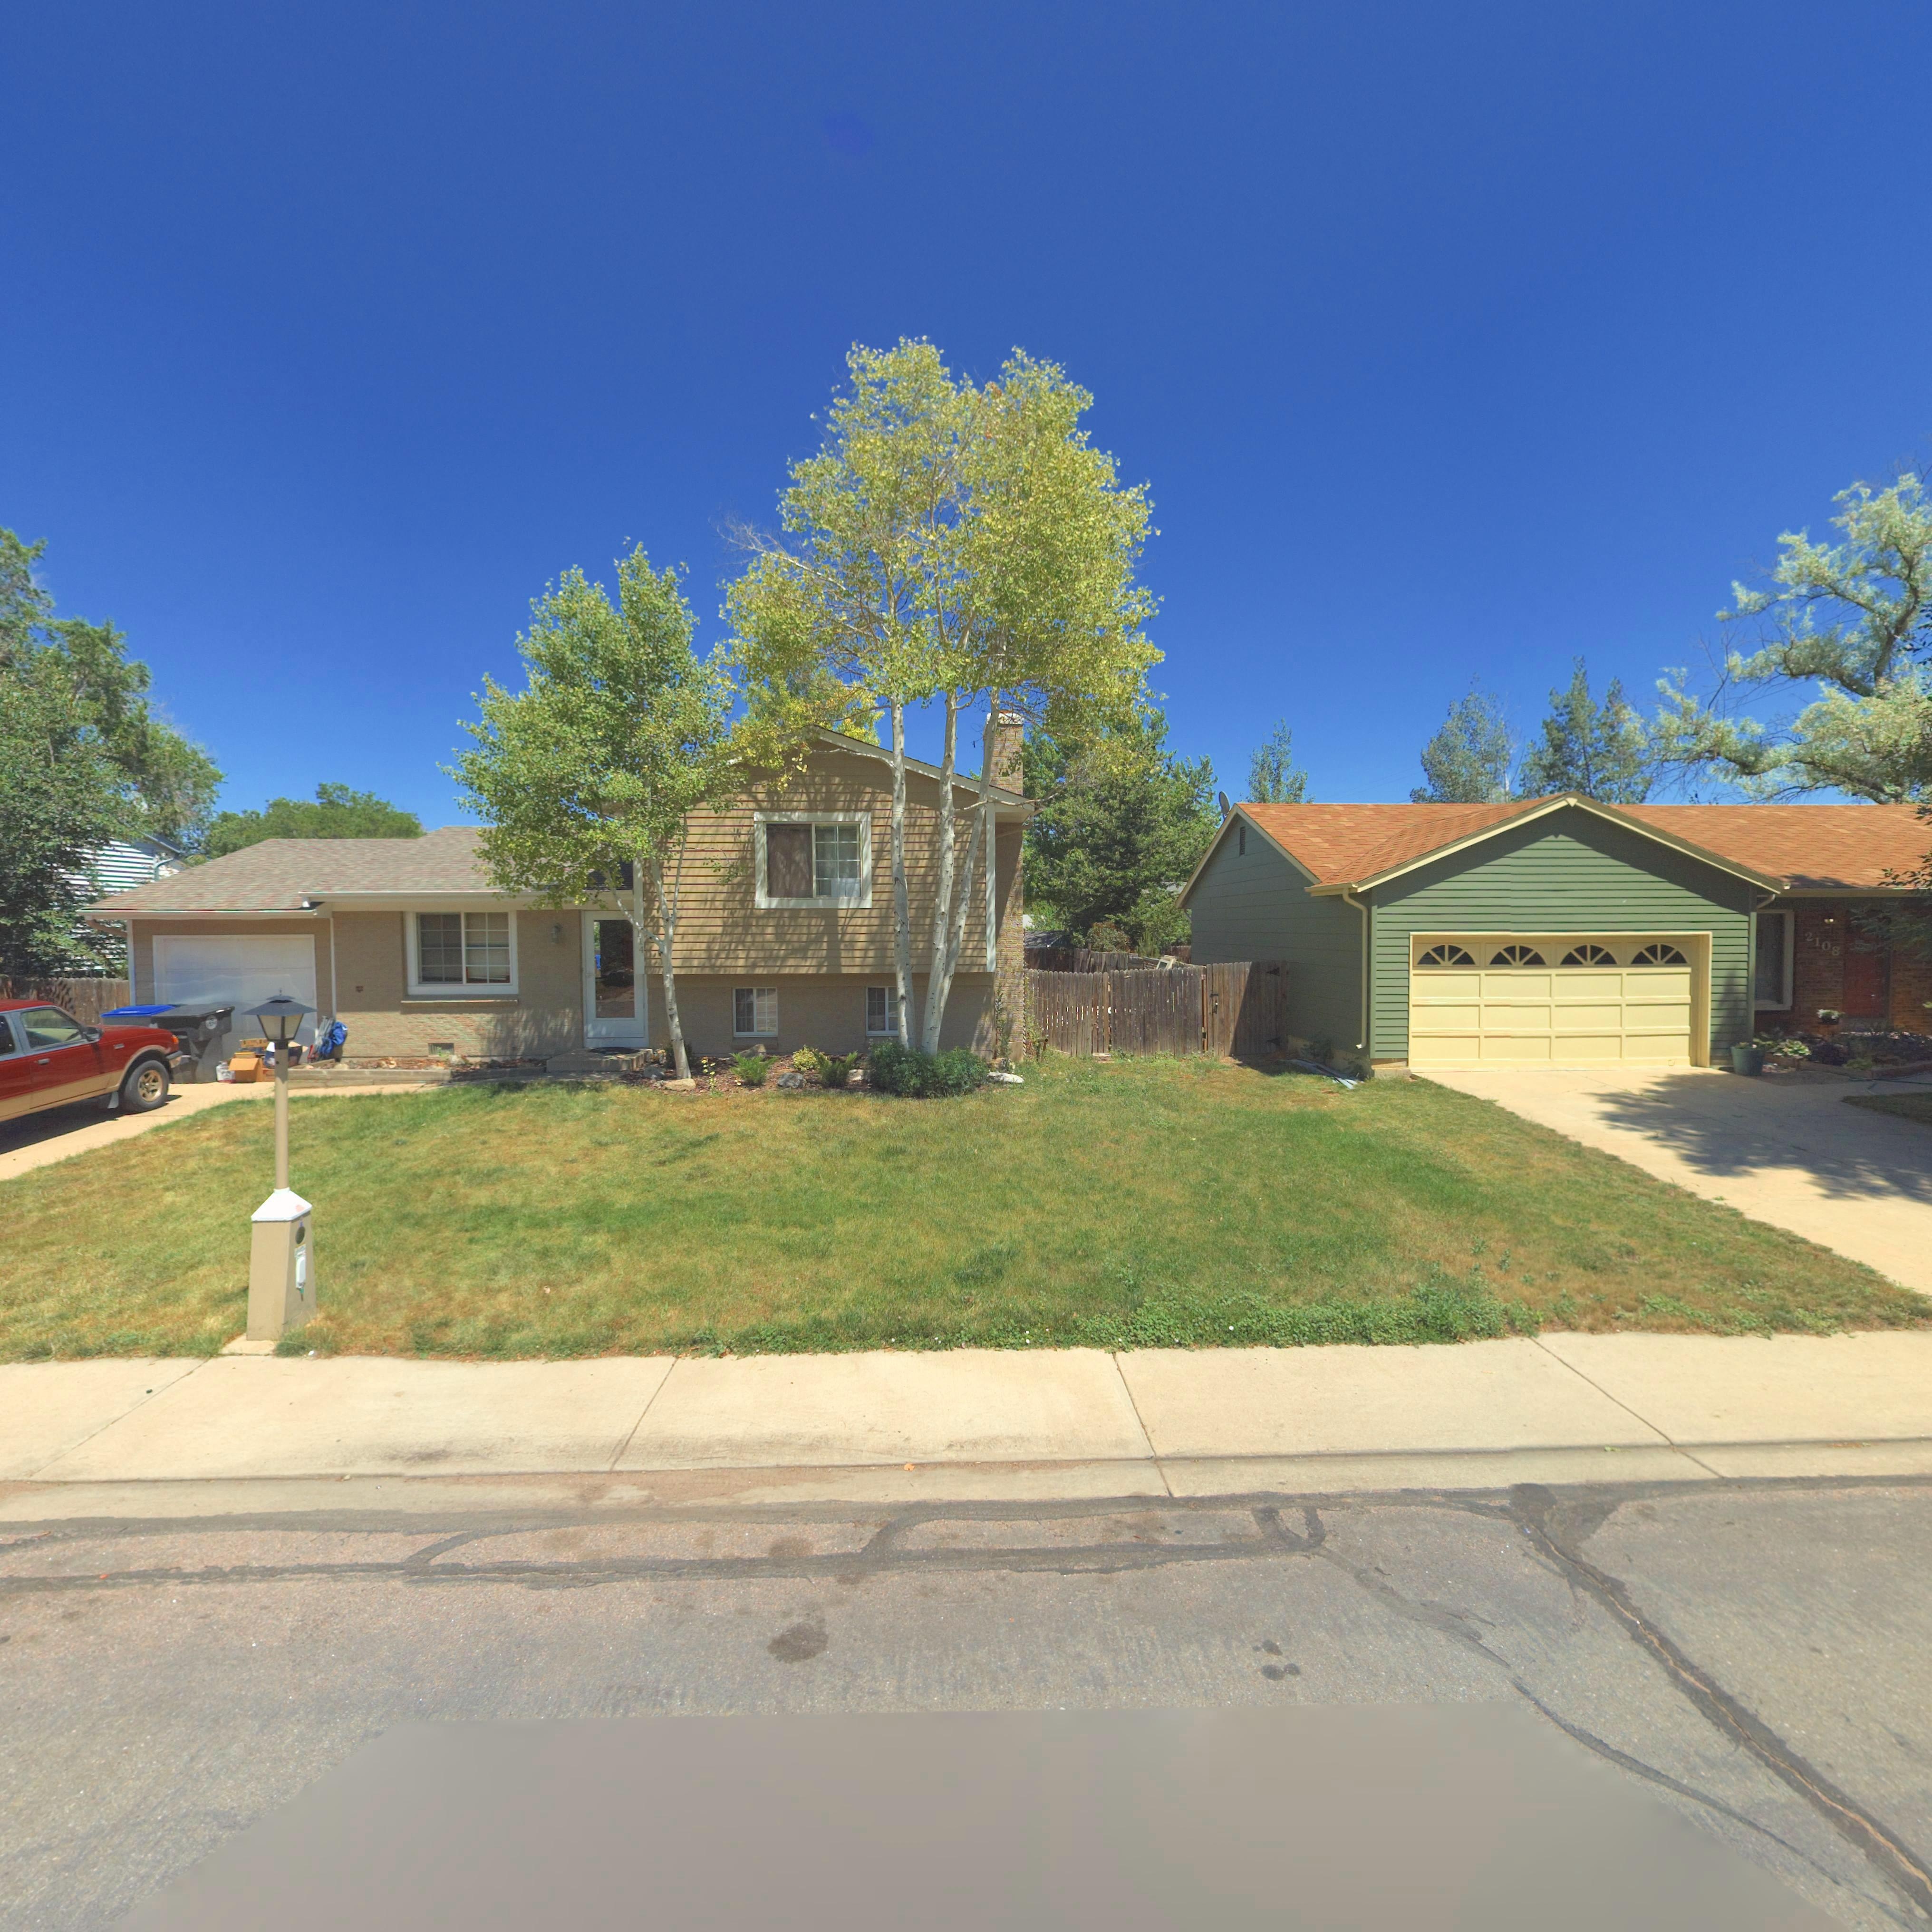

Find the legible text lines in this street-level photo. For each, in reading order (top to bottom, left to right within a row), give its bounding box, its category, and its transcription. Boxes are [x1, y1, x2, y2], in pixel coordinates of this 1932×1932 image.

[634, 928, 645, 955] StreetNumber: *114
[1803, 930, 1842, 959] StreetNumber: 2108